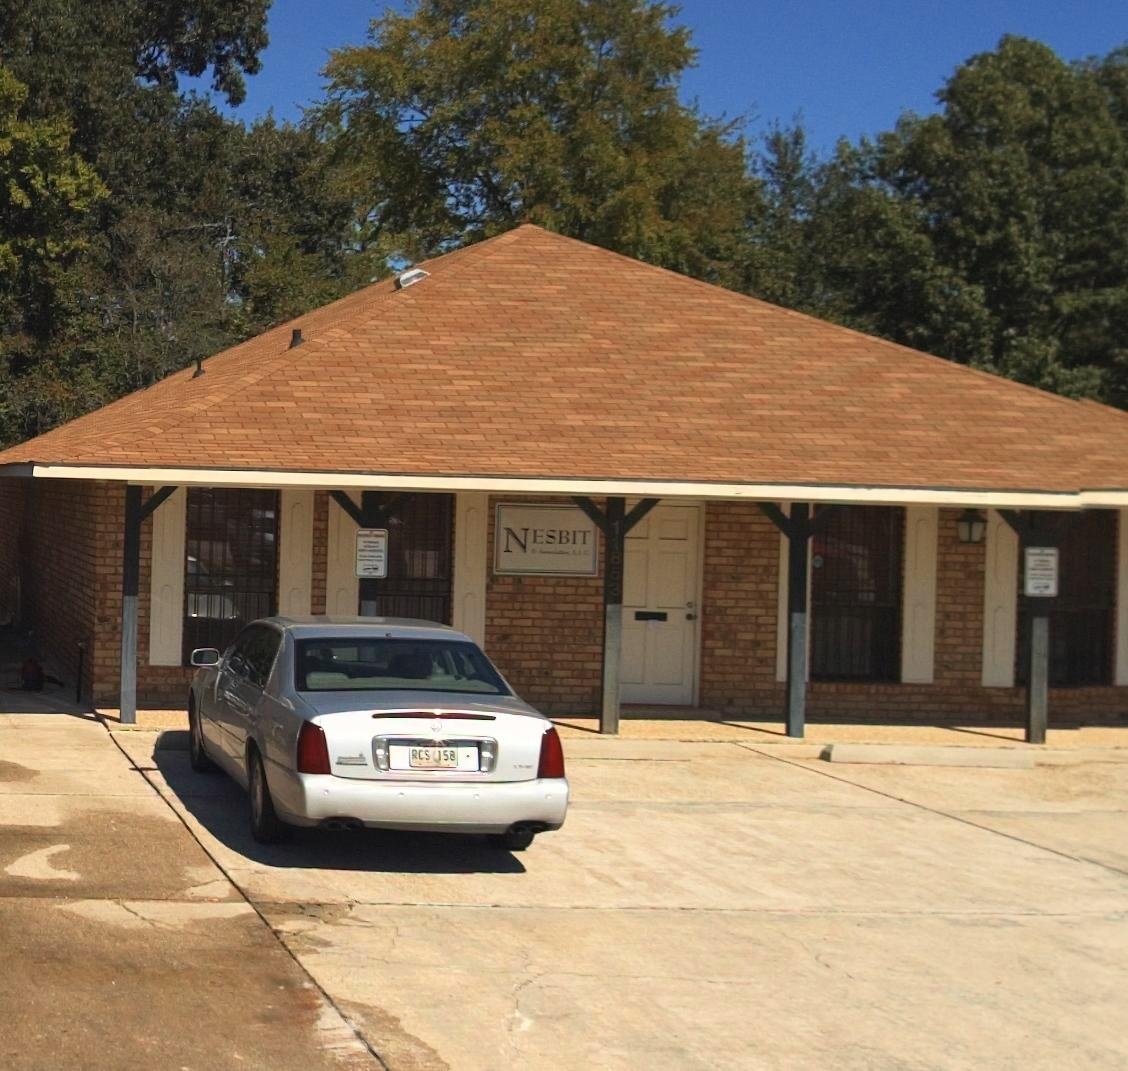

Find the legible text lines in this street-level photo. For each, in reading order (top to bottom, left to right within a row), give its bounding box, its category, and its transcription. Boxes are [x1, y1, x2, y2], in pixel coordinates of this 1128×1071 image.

[500, 525, 593, 555] BusinessName: Nesbit 
[571, 548, 592, 557] BusinessName: LLC
[606, 517, 625, 601] StreetNumber: 11853
[410, 746, 459, 763] None: RCS *50